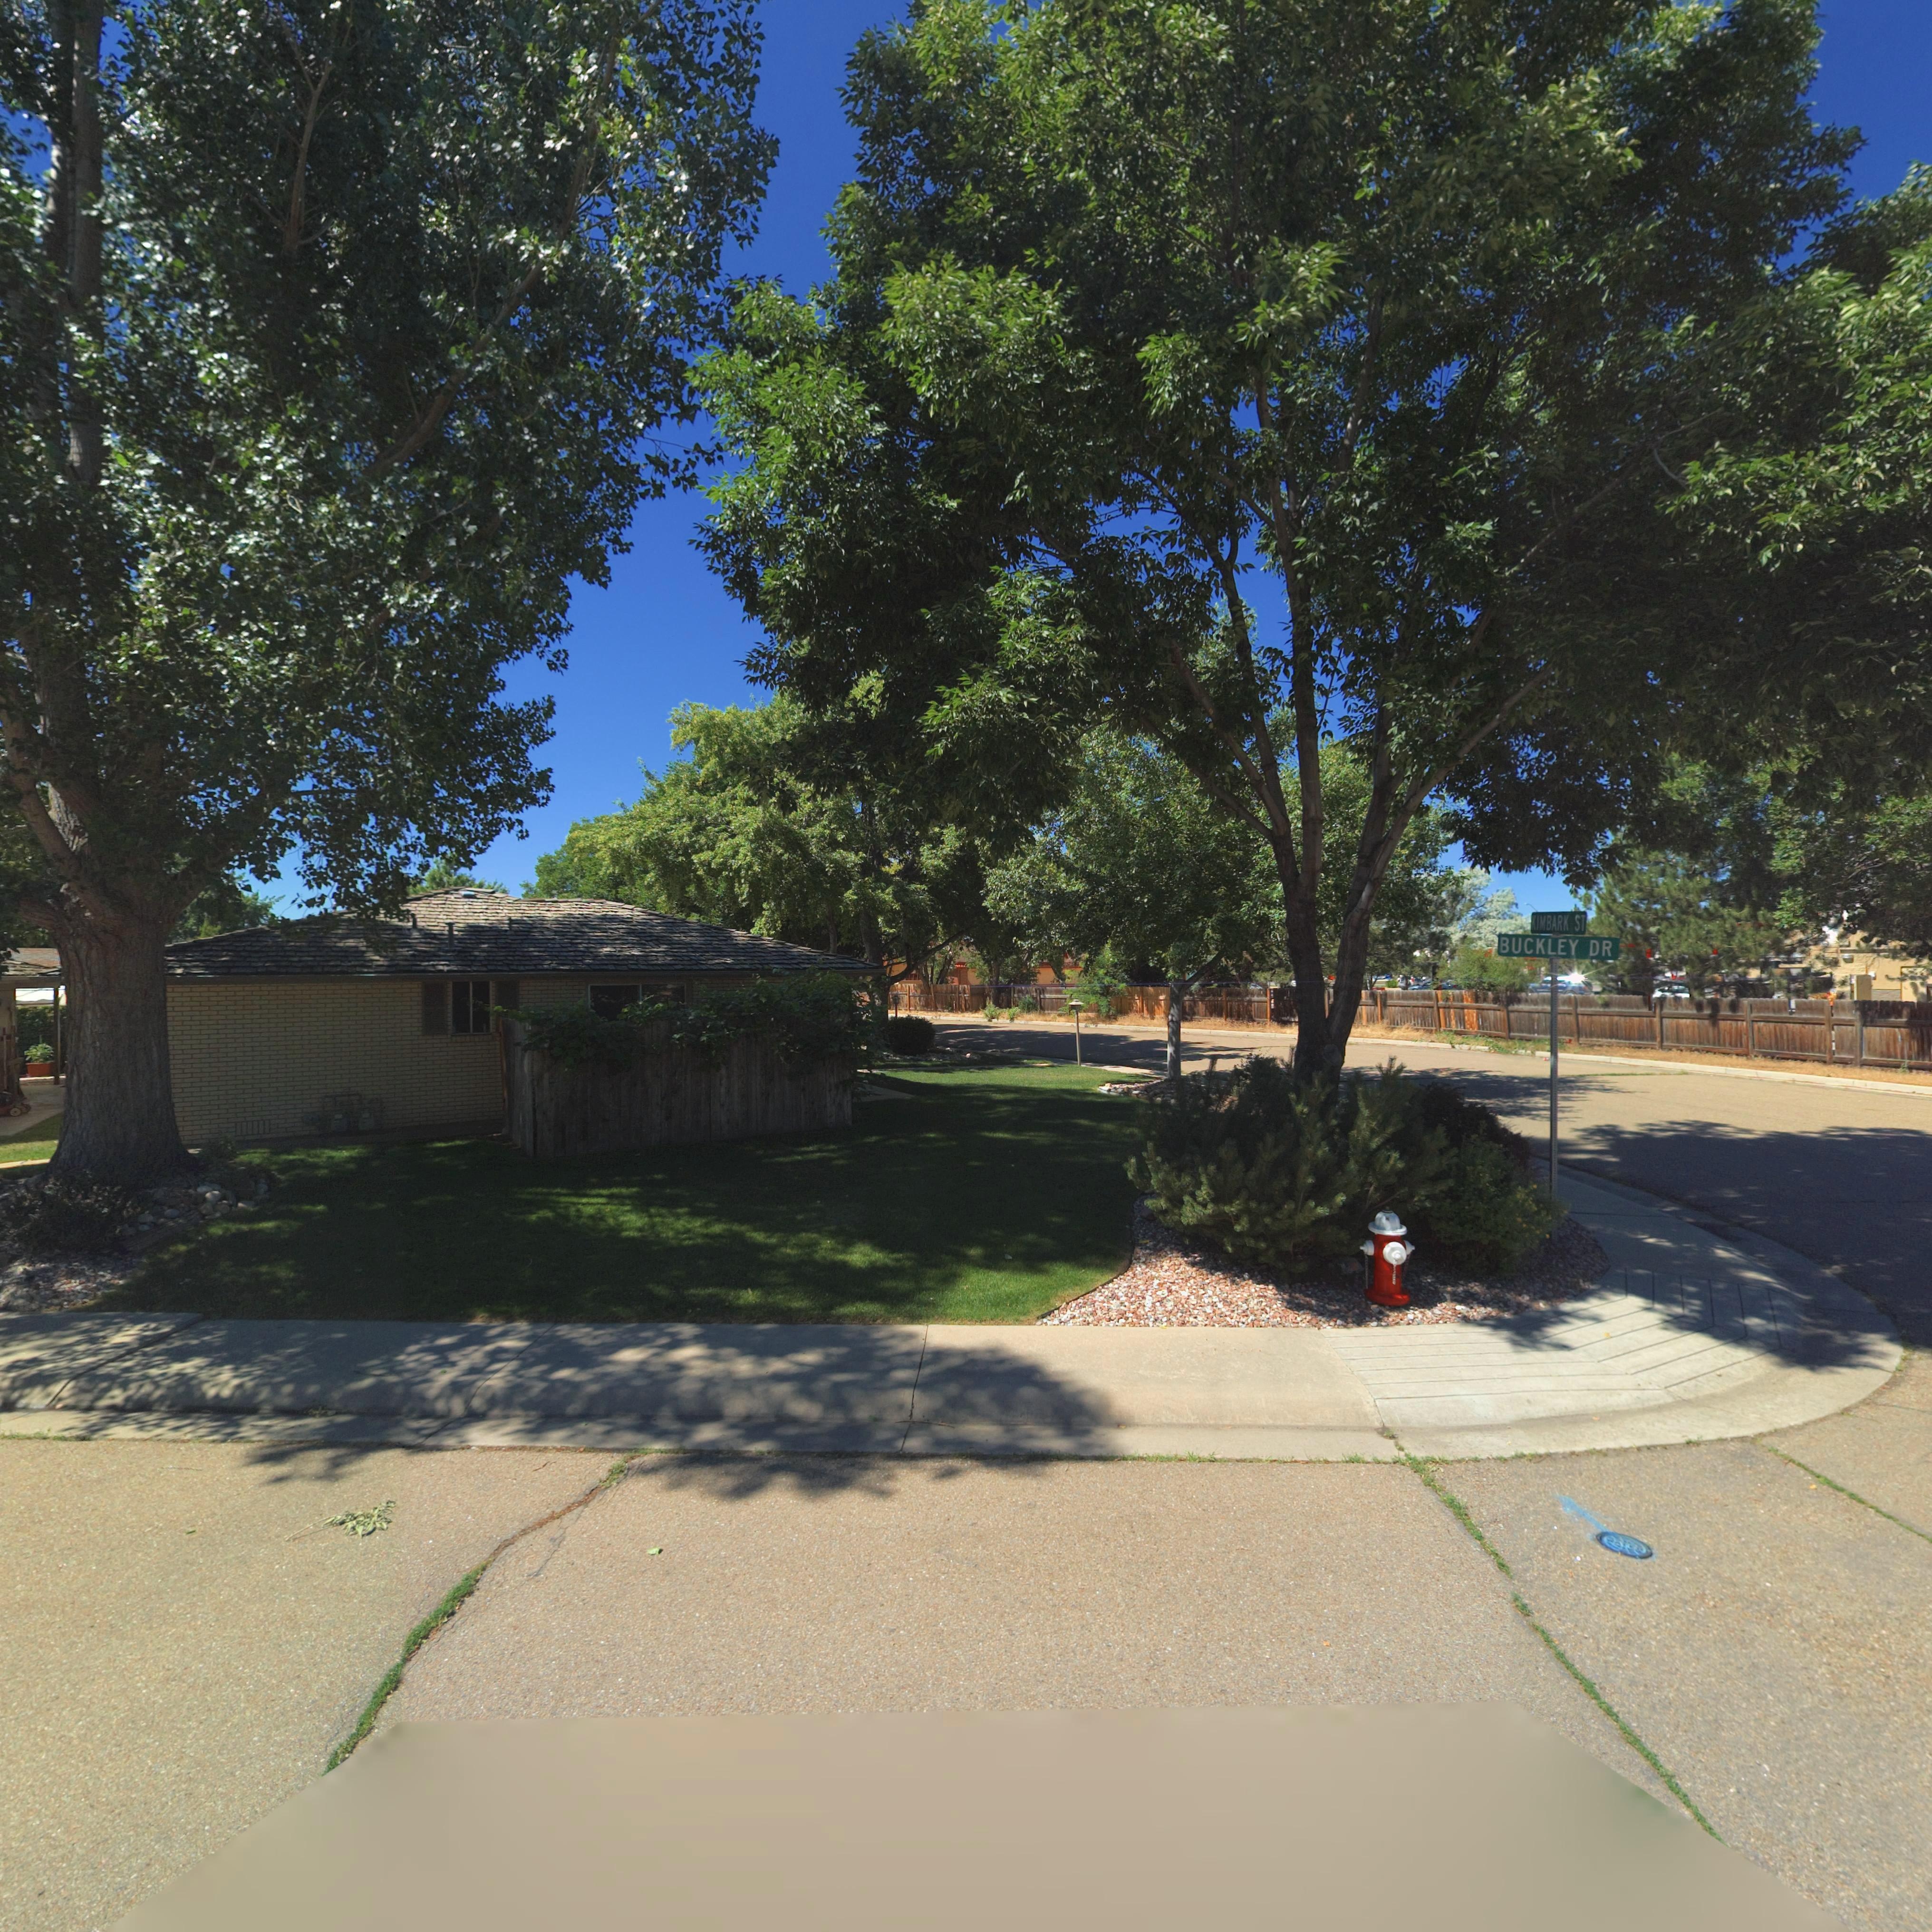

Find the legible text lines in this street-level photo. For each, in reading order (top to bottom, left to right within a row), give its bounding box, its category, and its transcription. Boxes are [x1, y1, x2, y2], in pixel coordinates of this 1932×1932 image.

[1530, 914, 1587, 932] StreetName: KIMBARK ST
[1499, 936, 1613, 957] StreetName: BUCKLEY DR